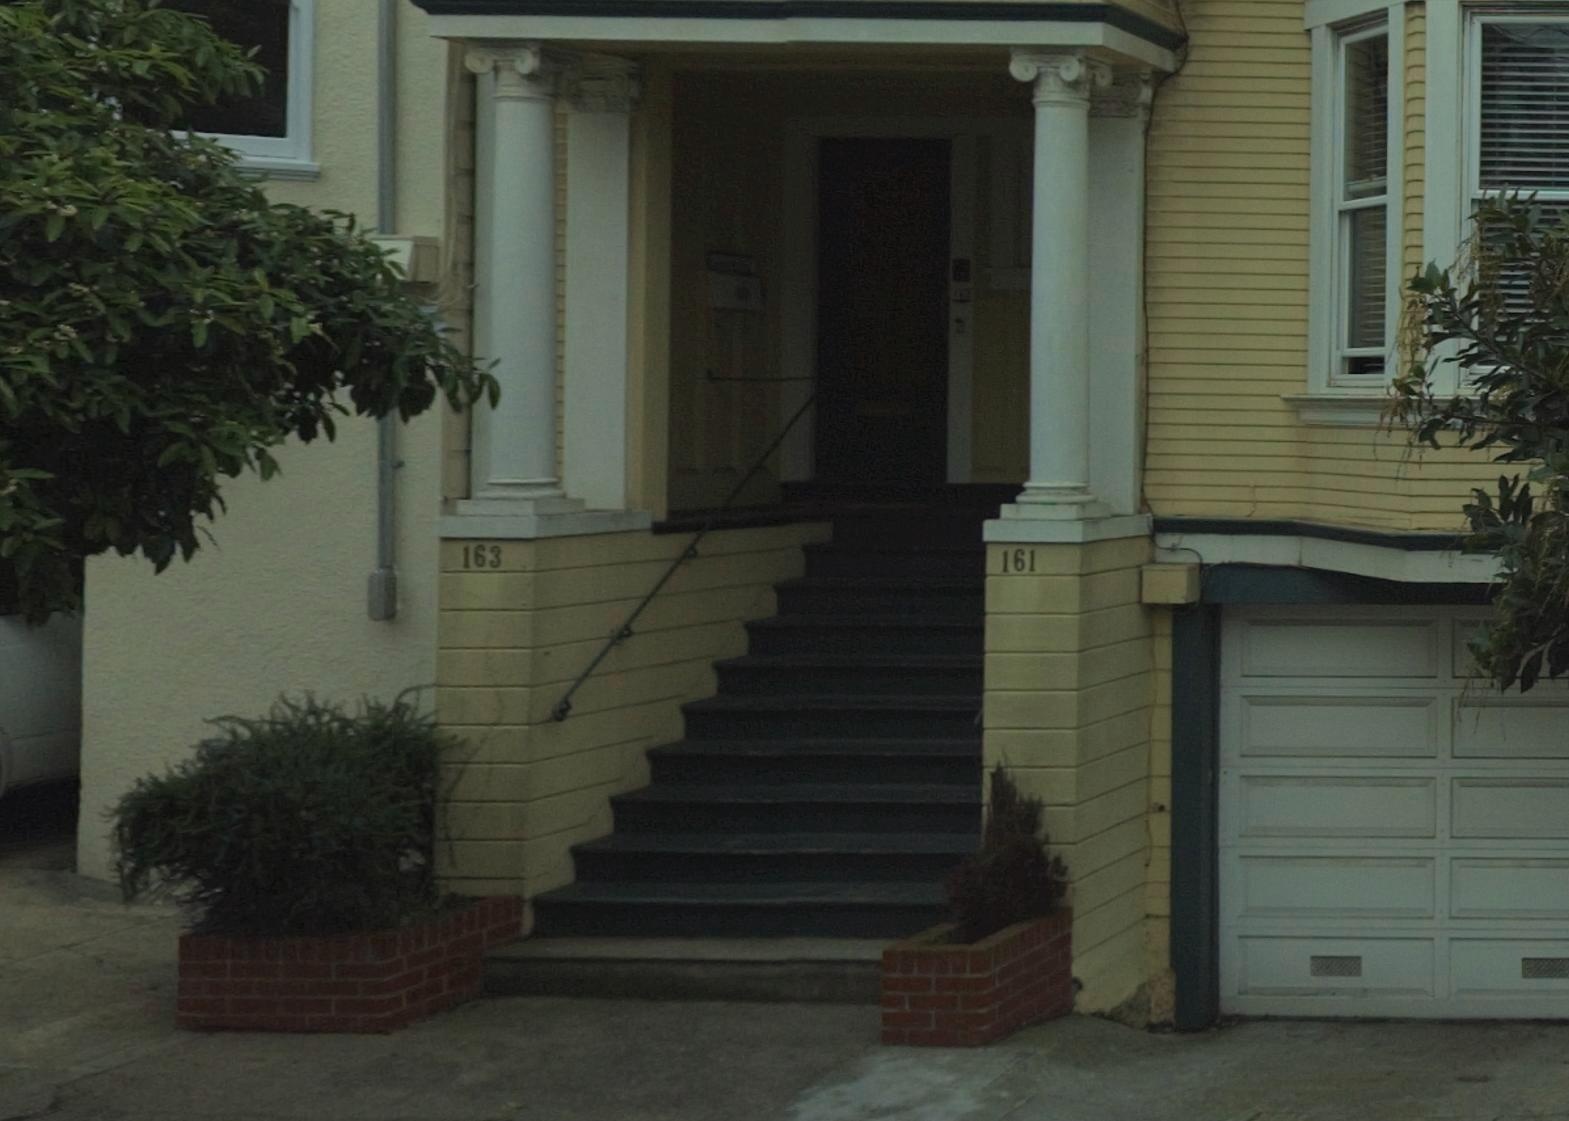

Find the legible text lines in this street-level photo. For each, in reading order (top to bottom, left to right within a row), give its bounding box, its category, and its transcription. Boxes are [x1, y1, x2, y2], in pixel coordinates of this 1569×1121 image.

[459, 542, 503, 571] StreetNumber: 163
[999, 546, 1039, 574] StreetNumber: 161